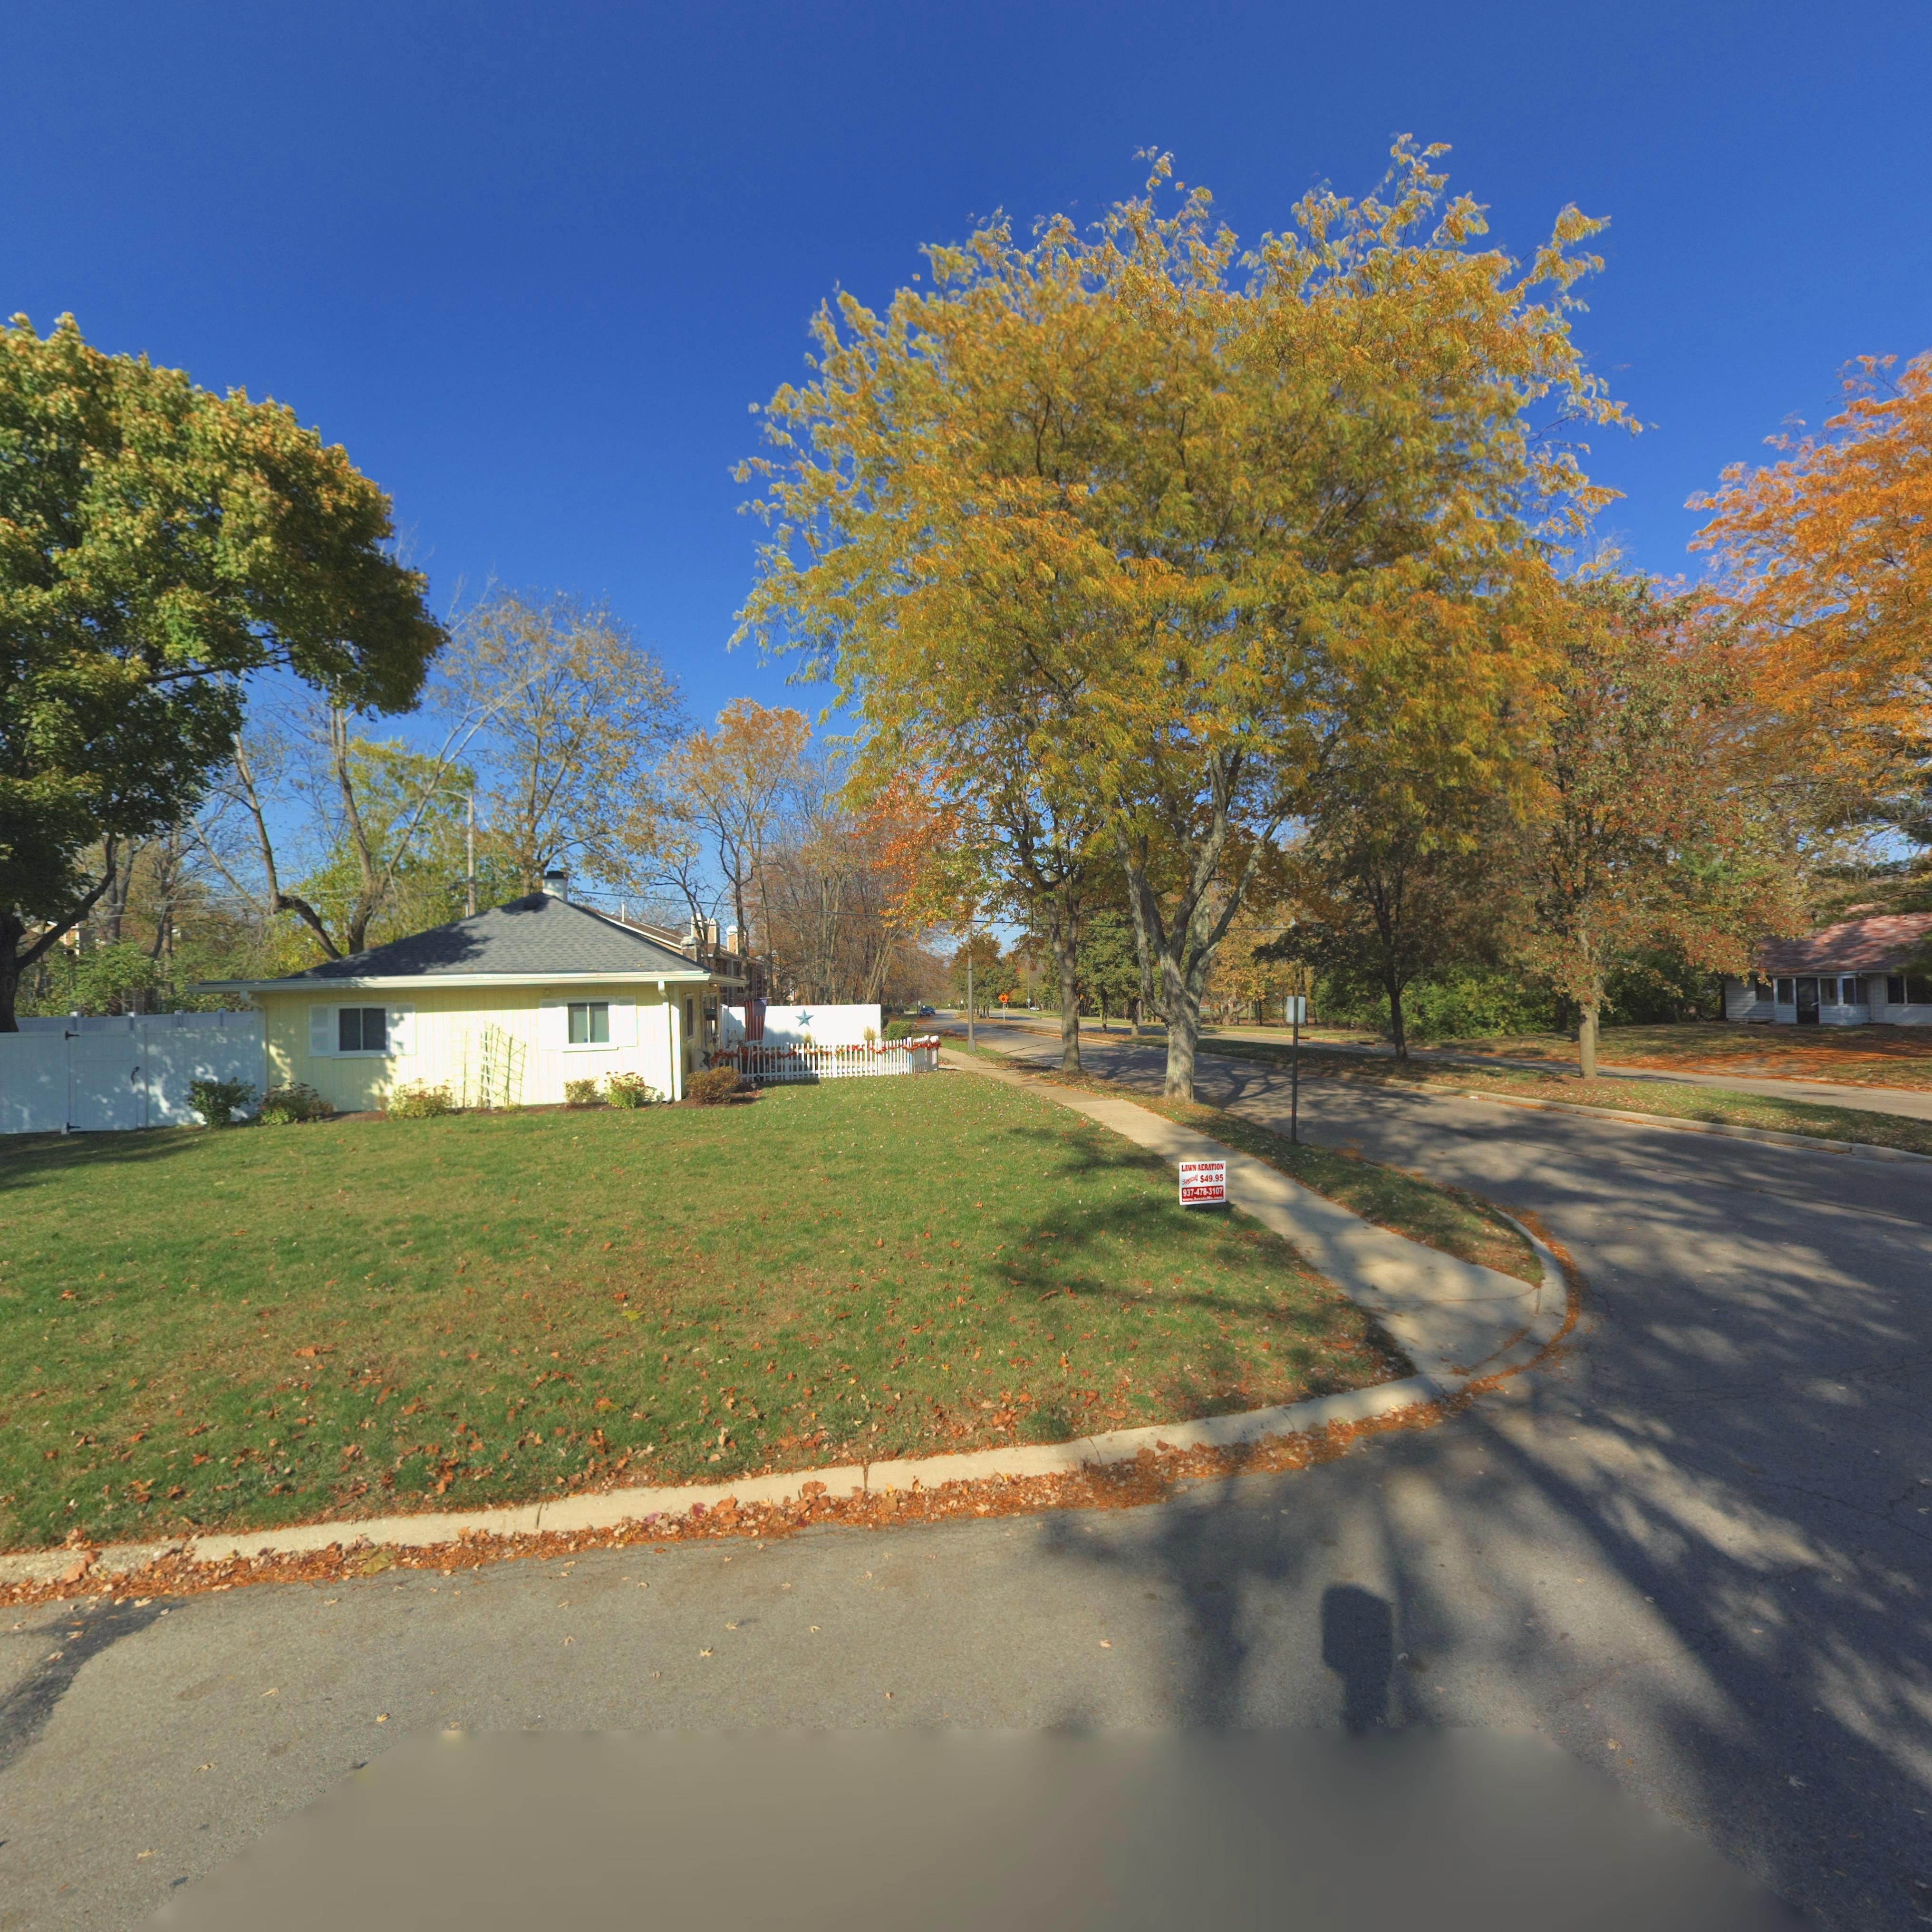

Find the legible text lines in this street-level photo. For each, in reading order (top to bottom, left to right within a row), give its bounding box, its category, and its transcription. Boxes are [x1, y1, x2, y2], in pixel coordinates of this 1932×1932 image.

[1181, 1163, 1224, 1172] None: LAWN AERATION
[1204, 1173, 1223, 1183] None: 49.95
[1182, 1186, 1224, 1197] None: 937-478-3107